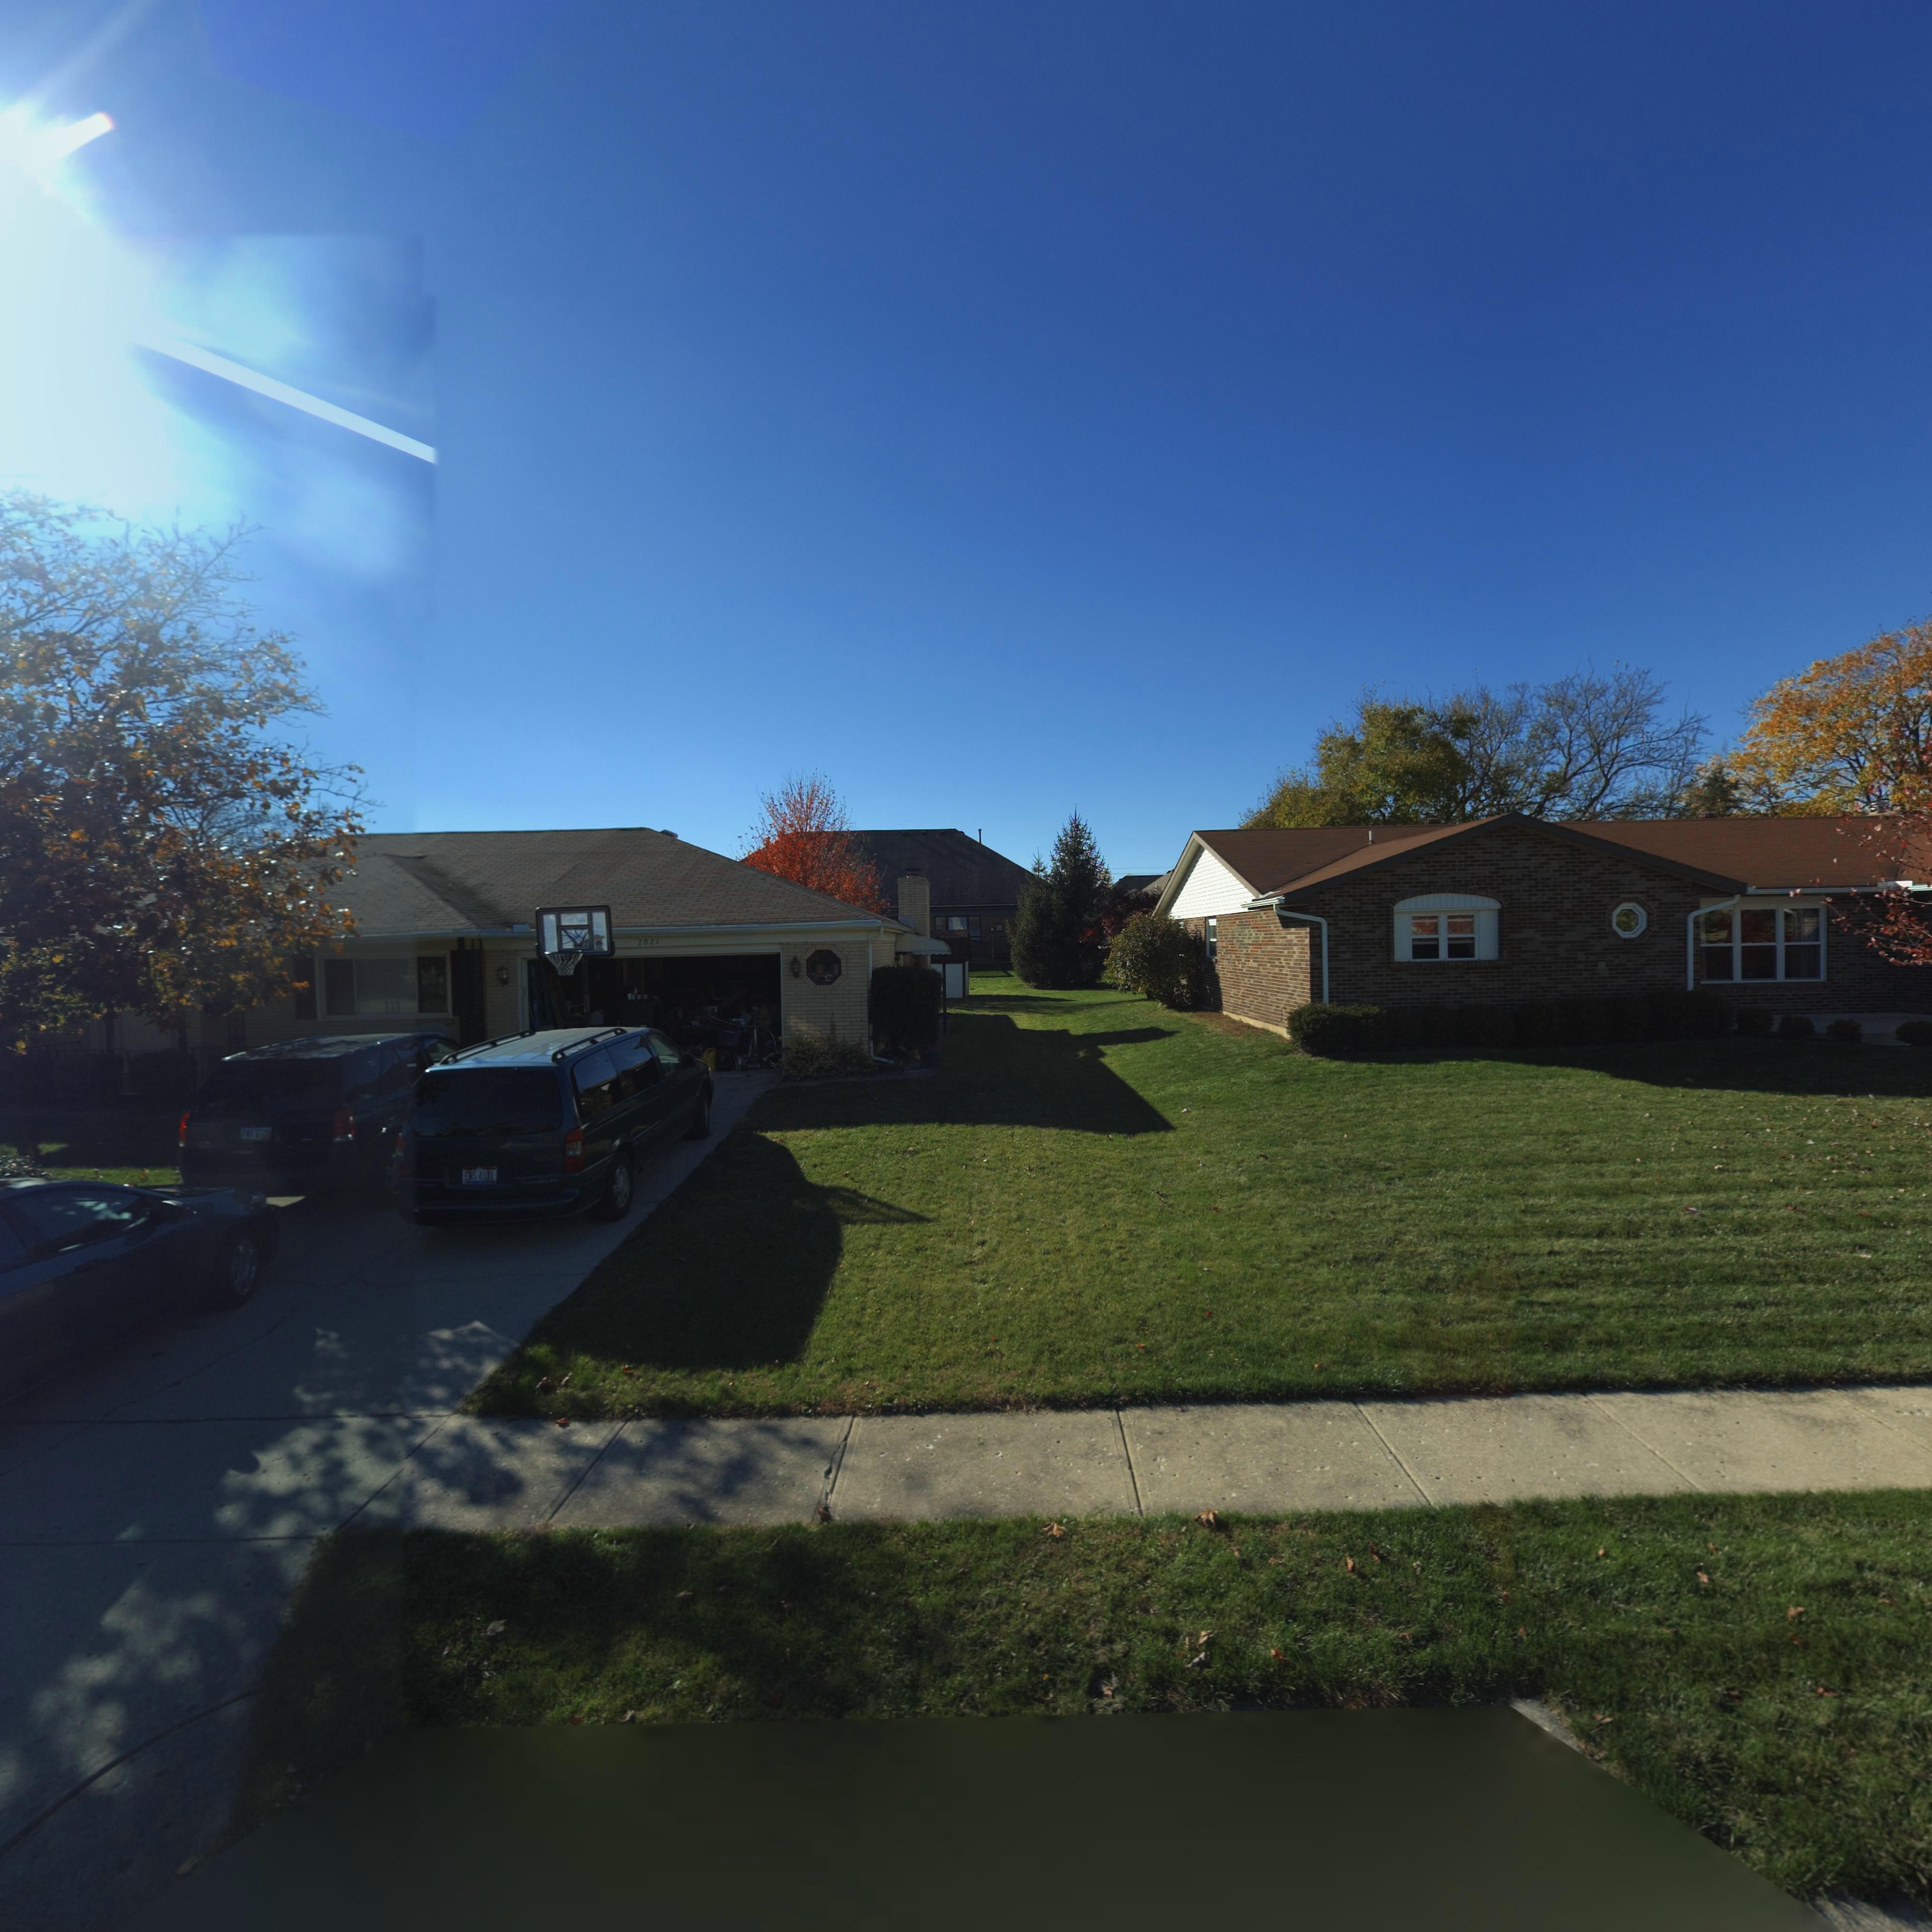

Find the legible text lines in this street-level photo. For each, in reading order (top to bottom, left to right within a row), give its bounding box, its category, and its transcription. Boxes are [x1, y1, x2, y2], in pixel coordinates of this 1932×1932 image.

[637, 938, 659, 946] StreetNumber: 7021